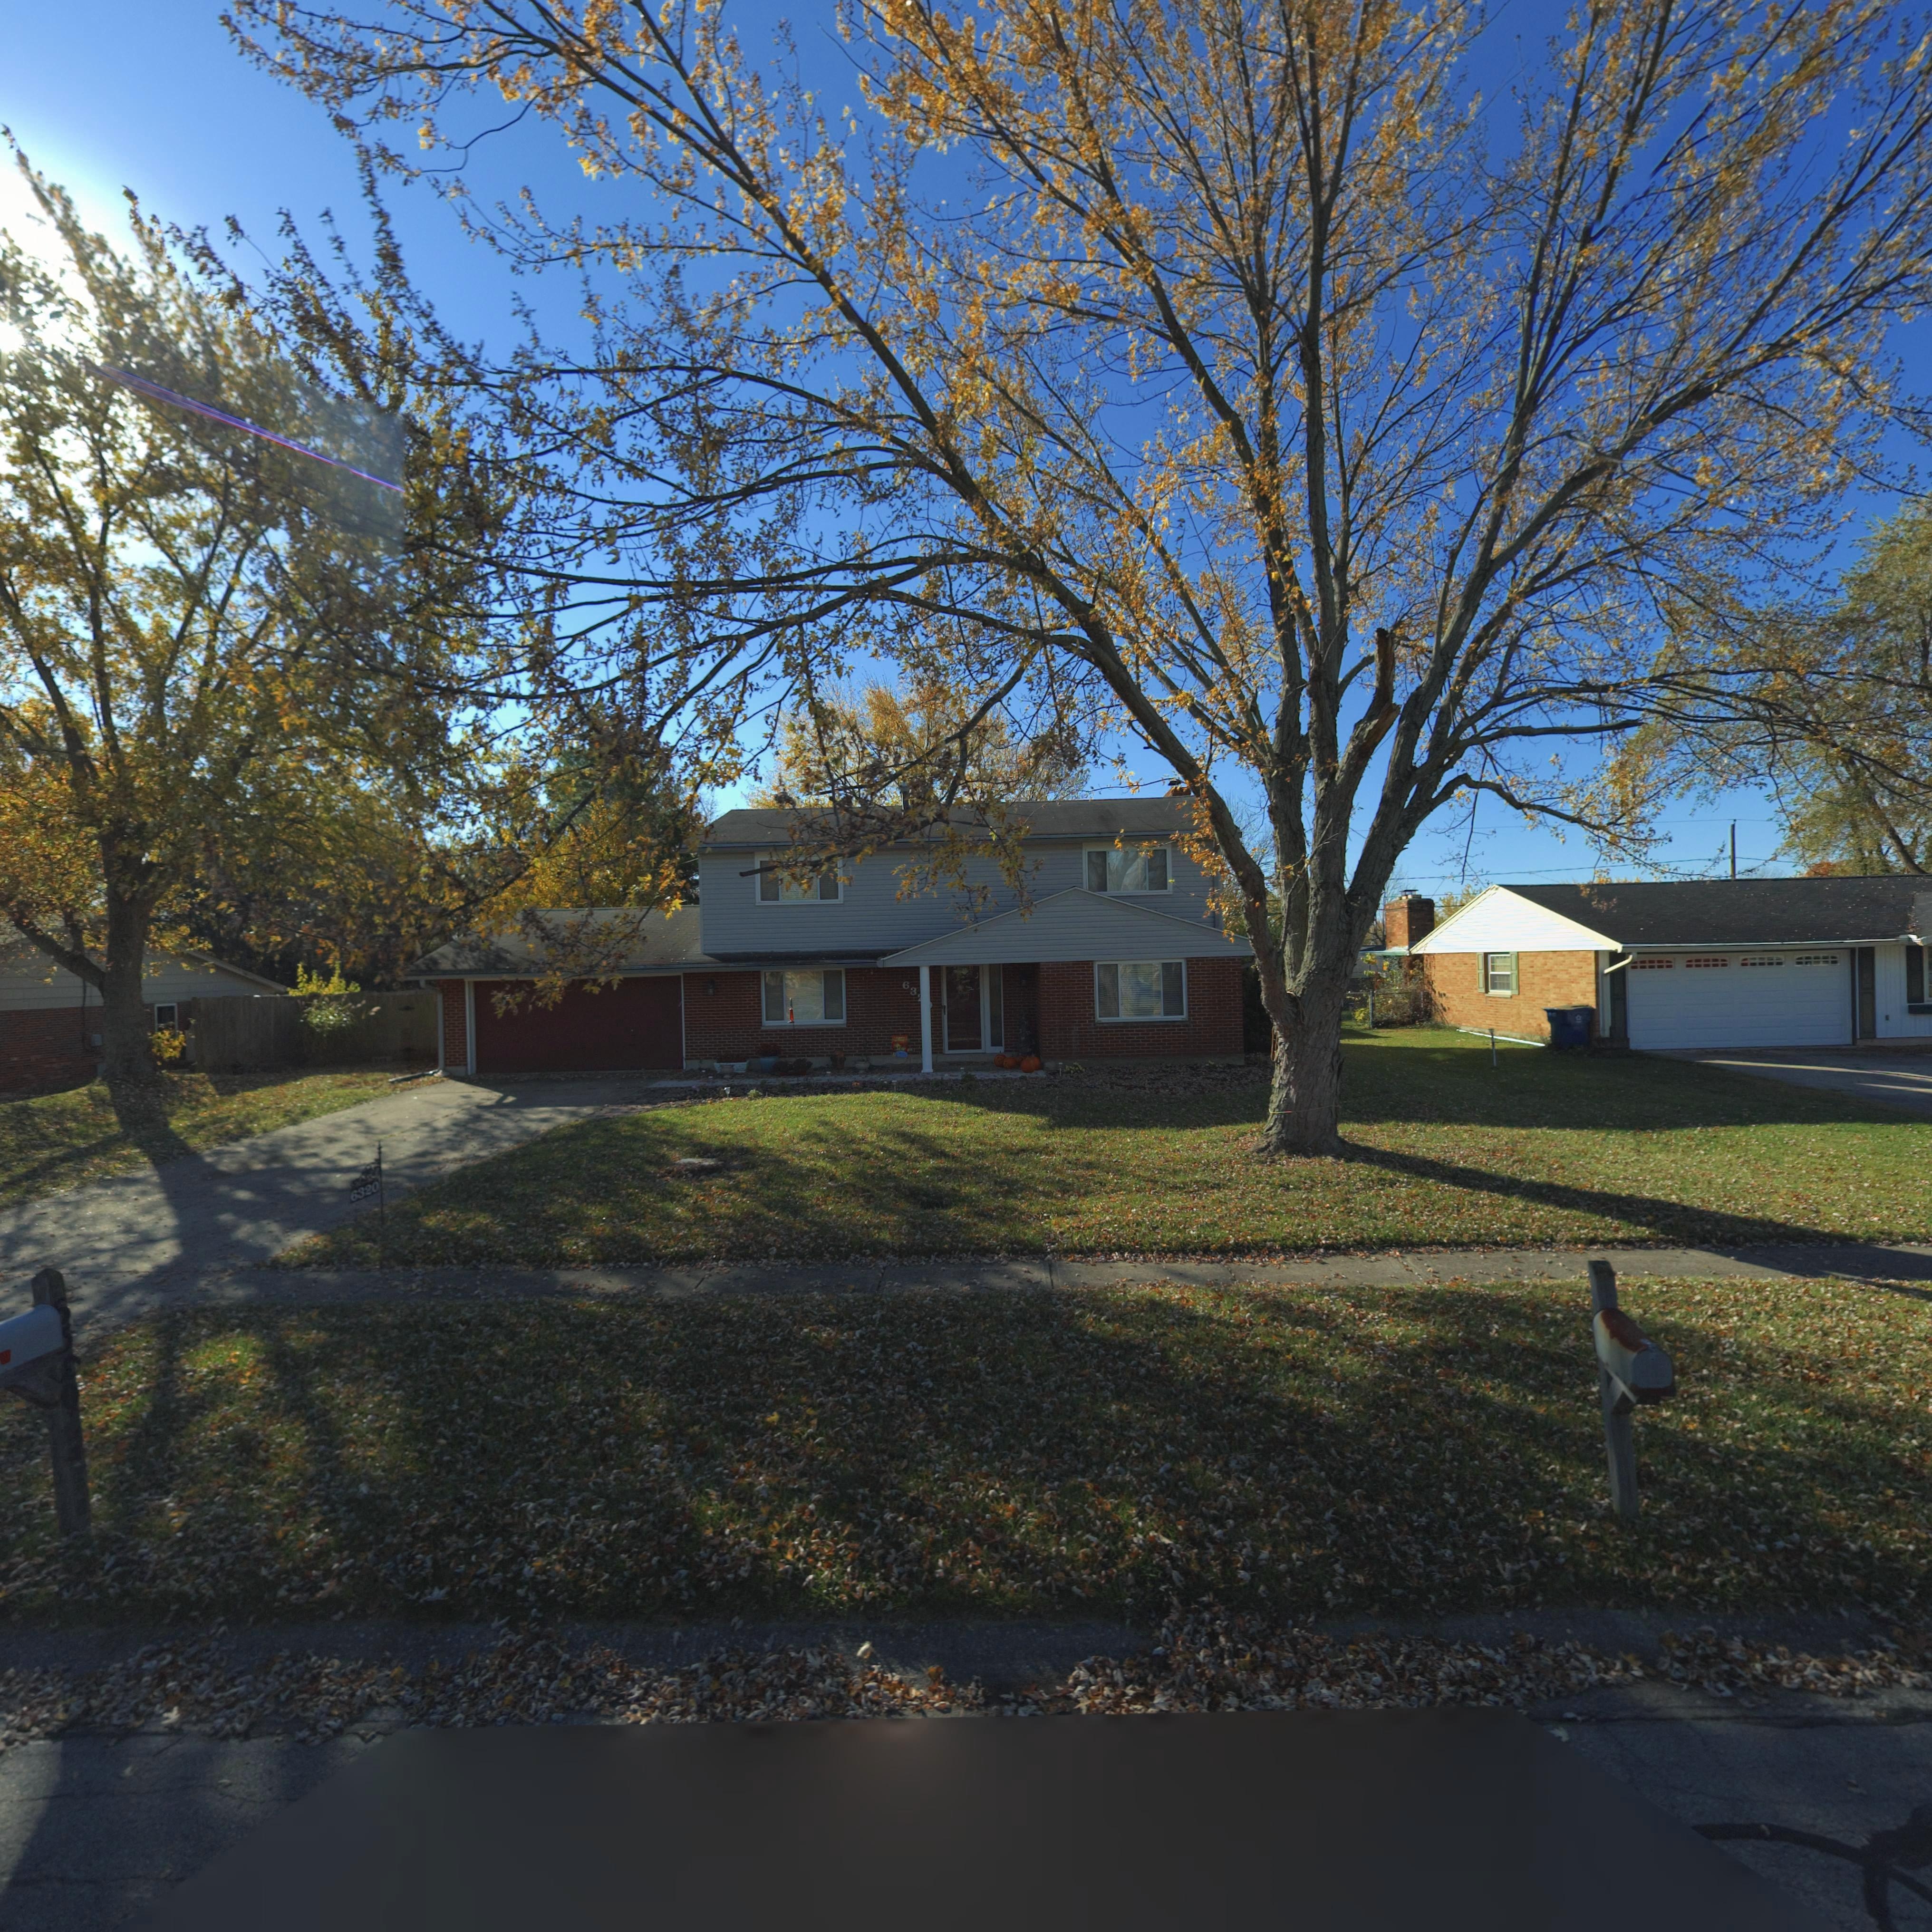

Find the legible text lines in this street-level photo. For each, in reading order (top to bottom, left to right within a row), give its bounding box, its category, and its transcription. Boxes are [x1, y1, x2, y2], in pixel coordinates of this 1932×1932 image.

[901, 980, 918, 997] StreetNumber: 63
[348, 1179, 380, 1203] StreetNumber: 6320